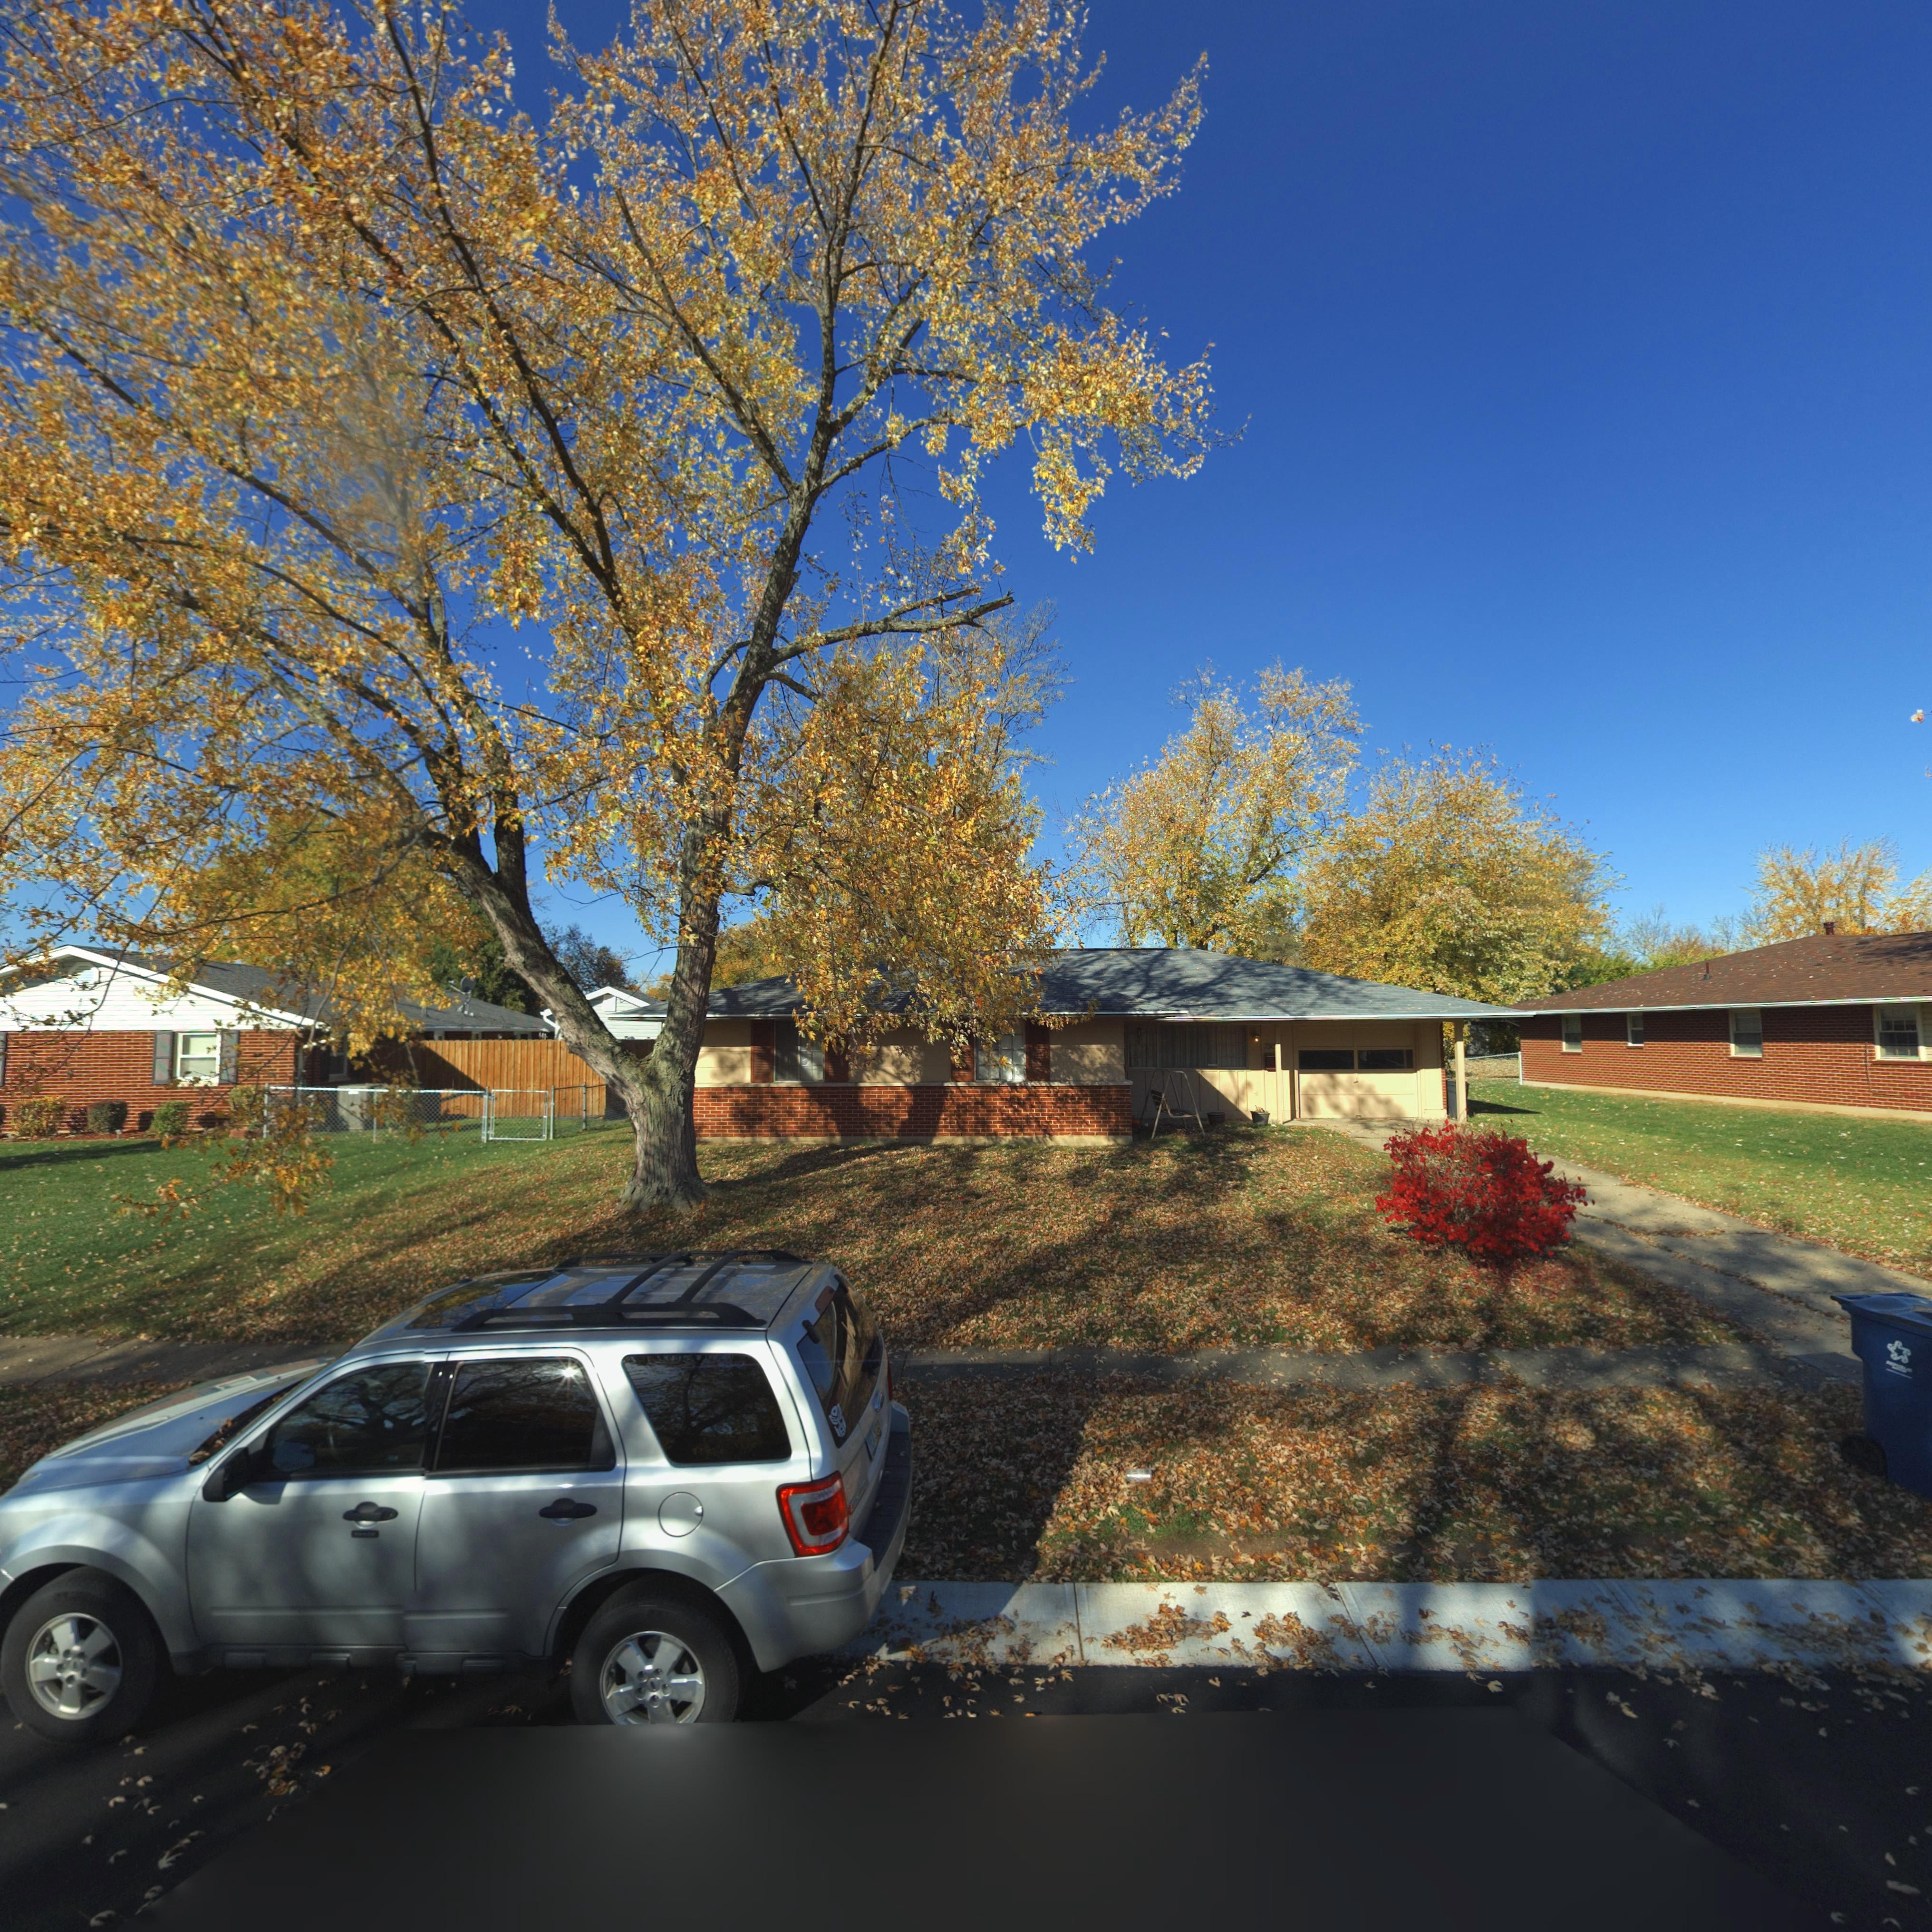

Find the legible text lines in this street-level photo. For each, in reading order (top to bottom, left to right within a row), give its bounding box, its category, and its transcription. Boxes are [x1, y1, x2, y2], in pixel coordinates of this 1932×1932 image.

[1263, 1043, 1276, 1050] StreetNumber: 78*